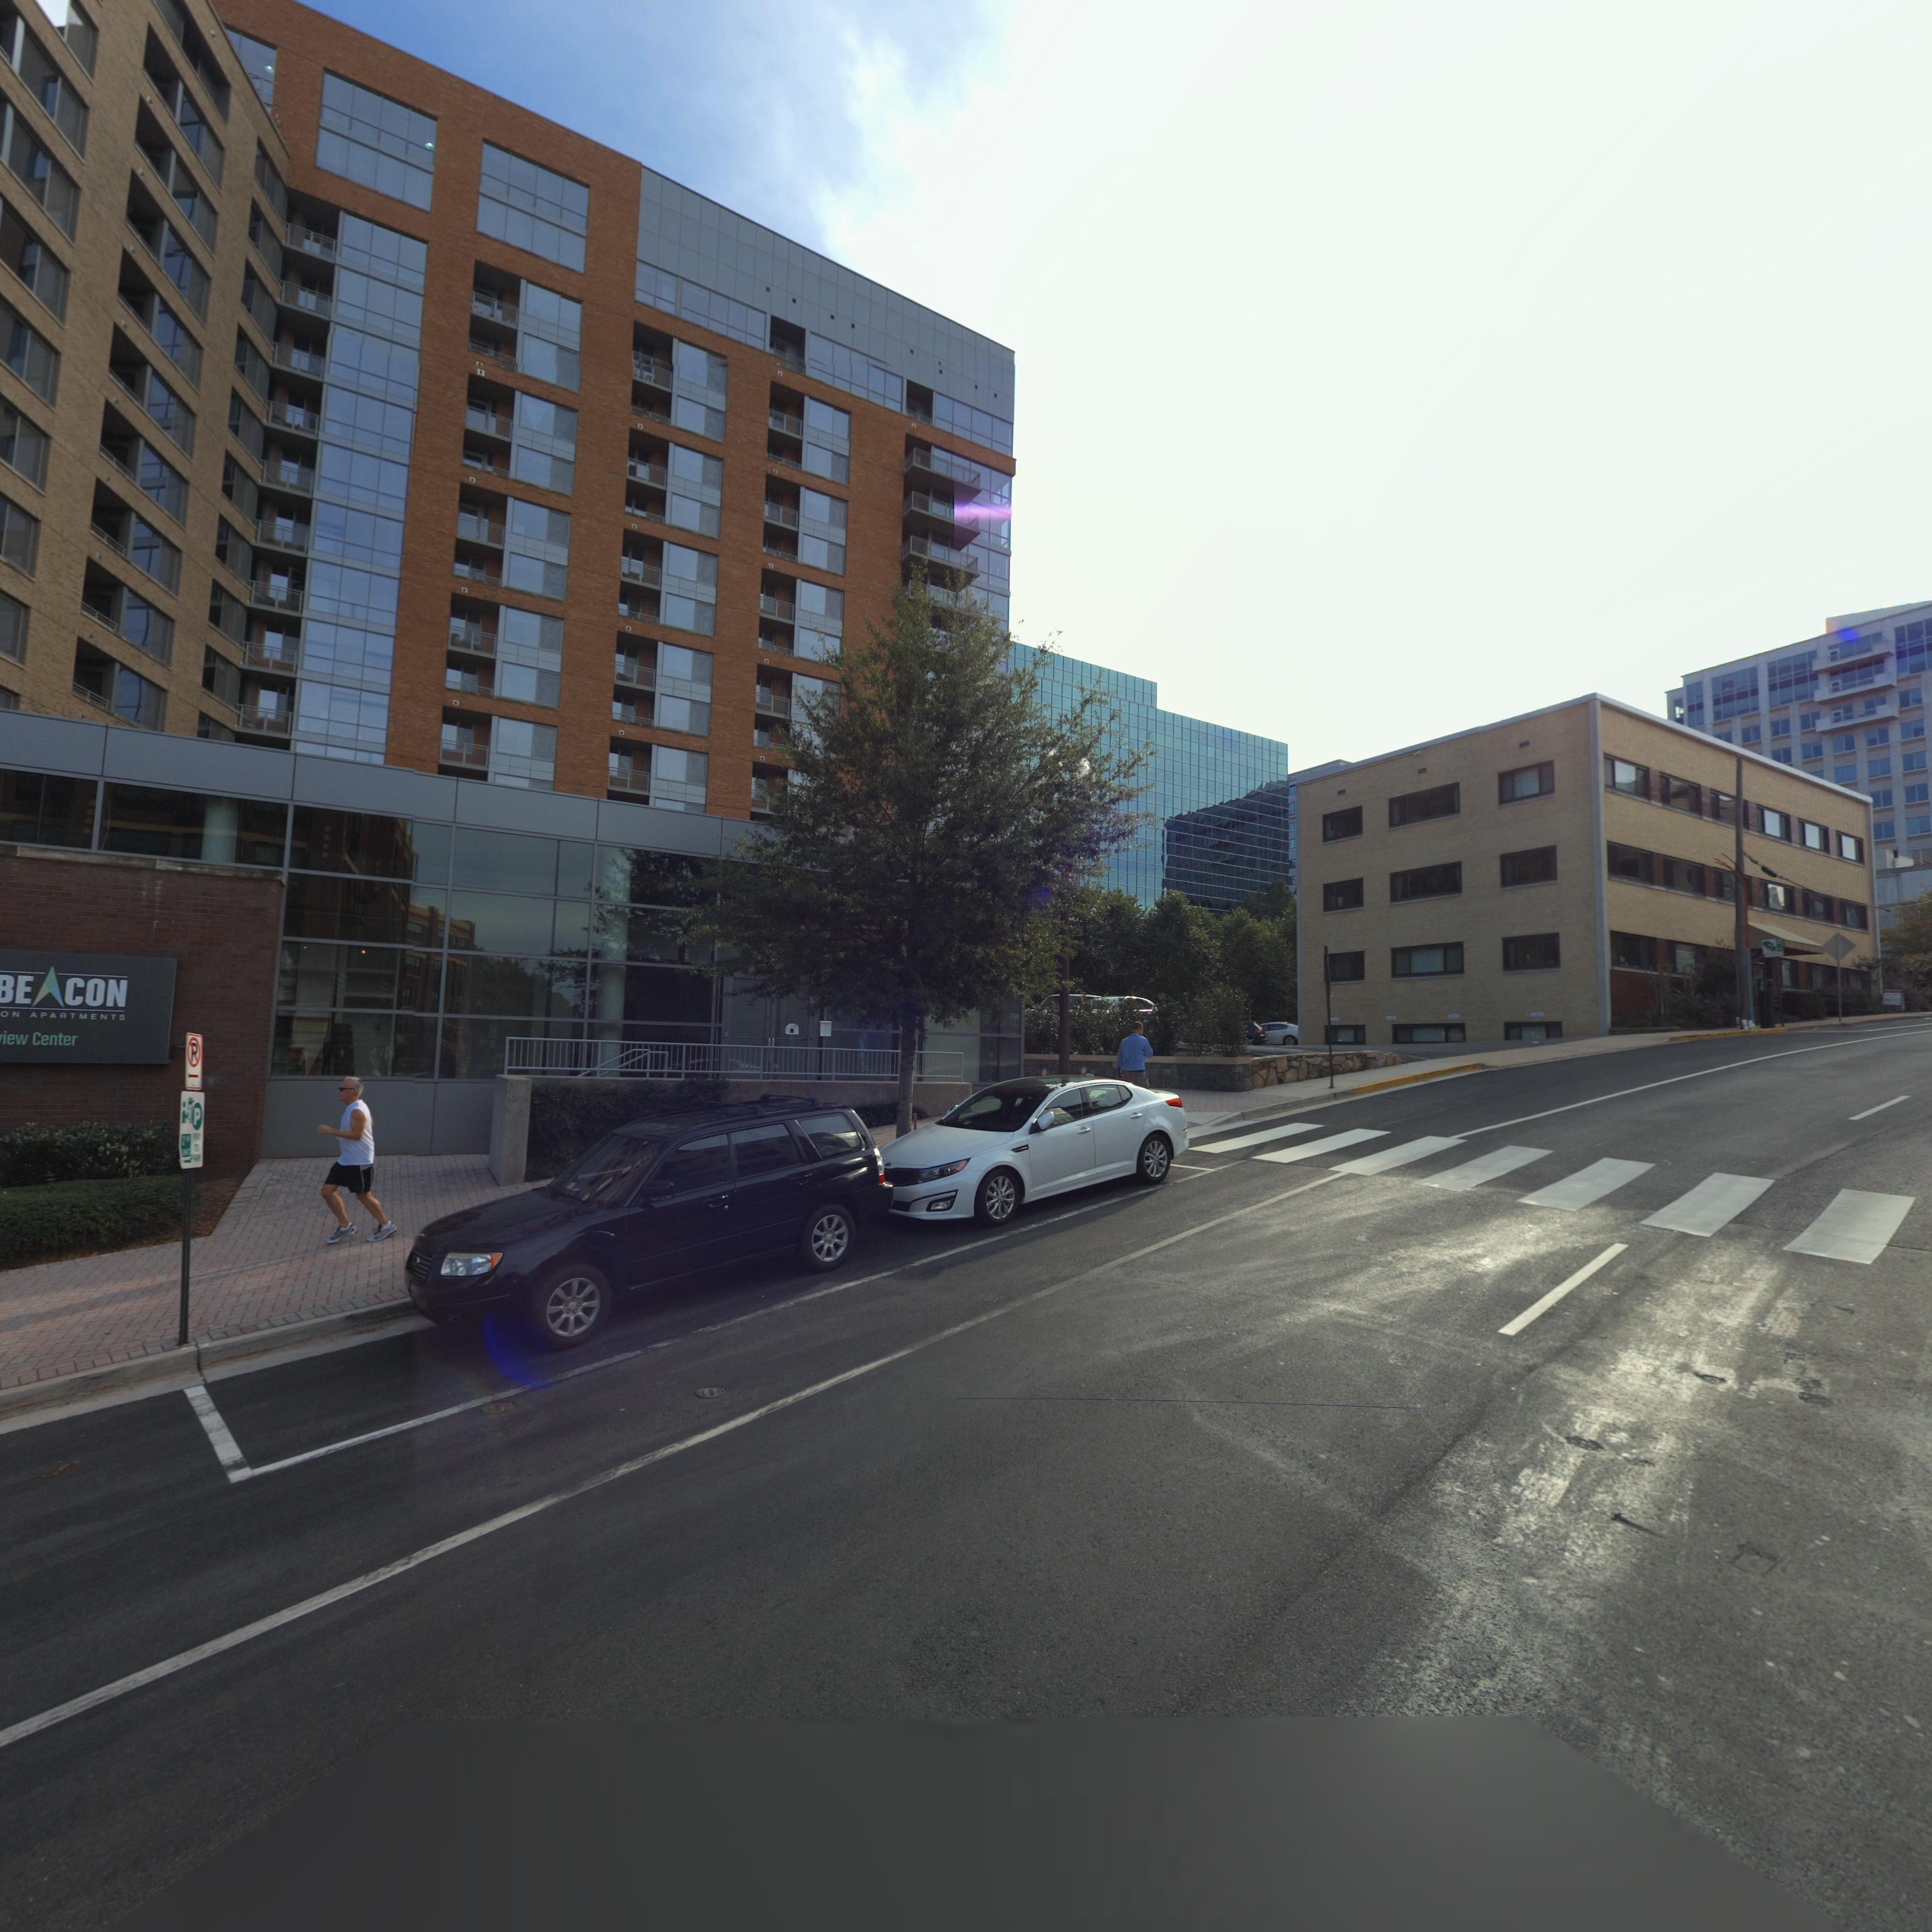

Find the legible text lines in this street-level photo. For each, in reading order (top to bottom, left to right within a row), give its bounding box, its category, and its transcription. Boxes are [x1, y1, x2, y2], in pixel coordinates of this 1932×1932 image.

[12, 965, 129, 1009] None: E*CON
[0, 1009, 127, 1022] None: ON APARTMENTS
[1, 1027, 80, 1048] None: iew Center
[193, 1106, 203, 1127] None: P